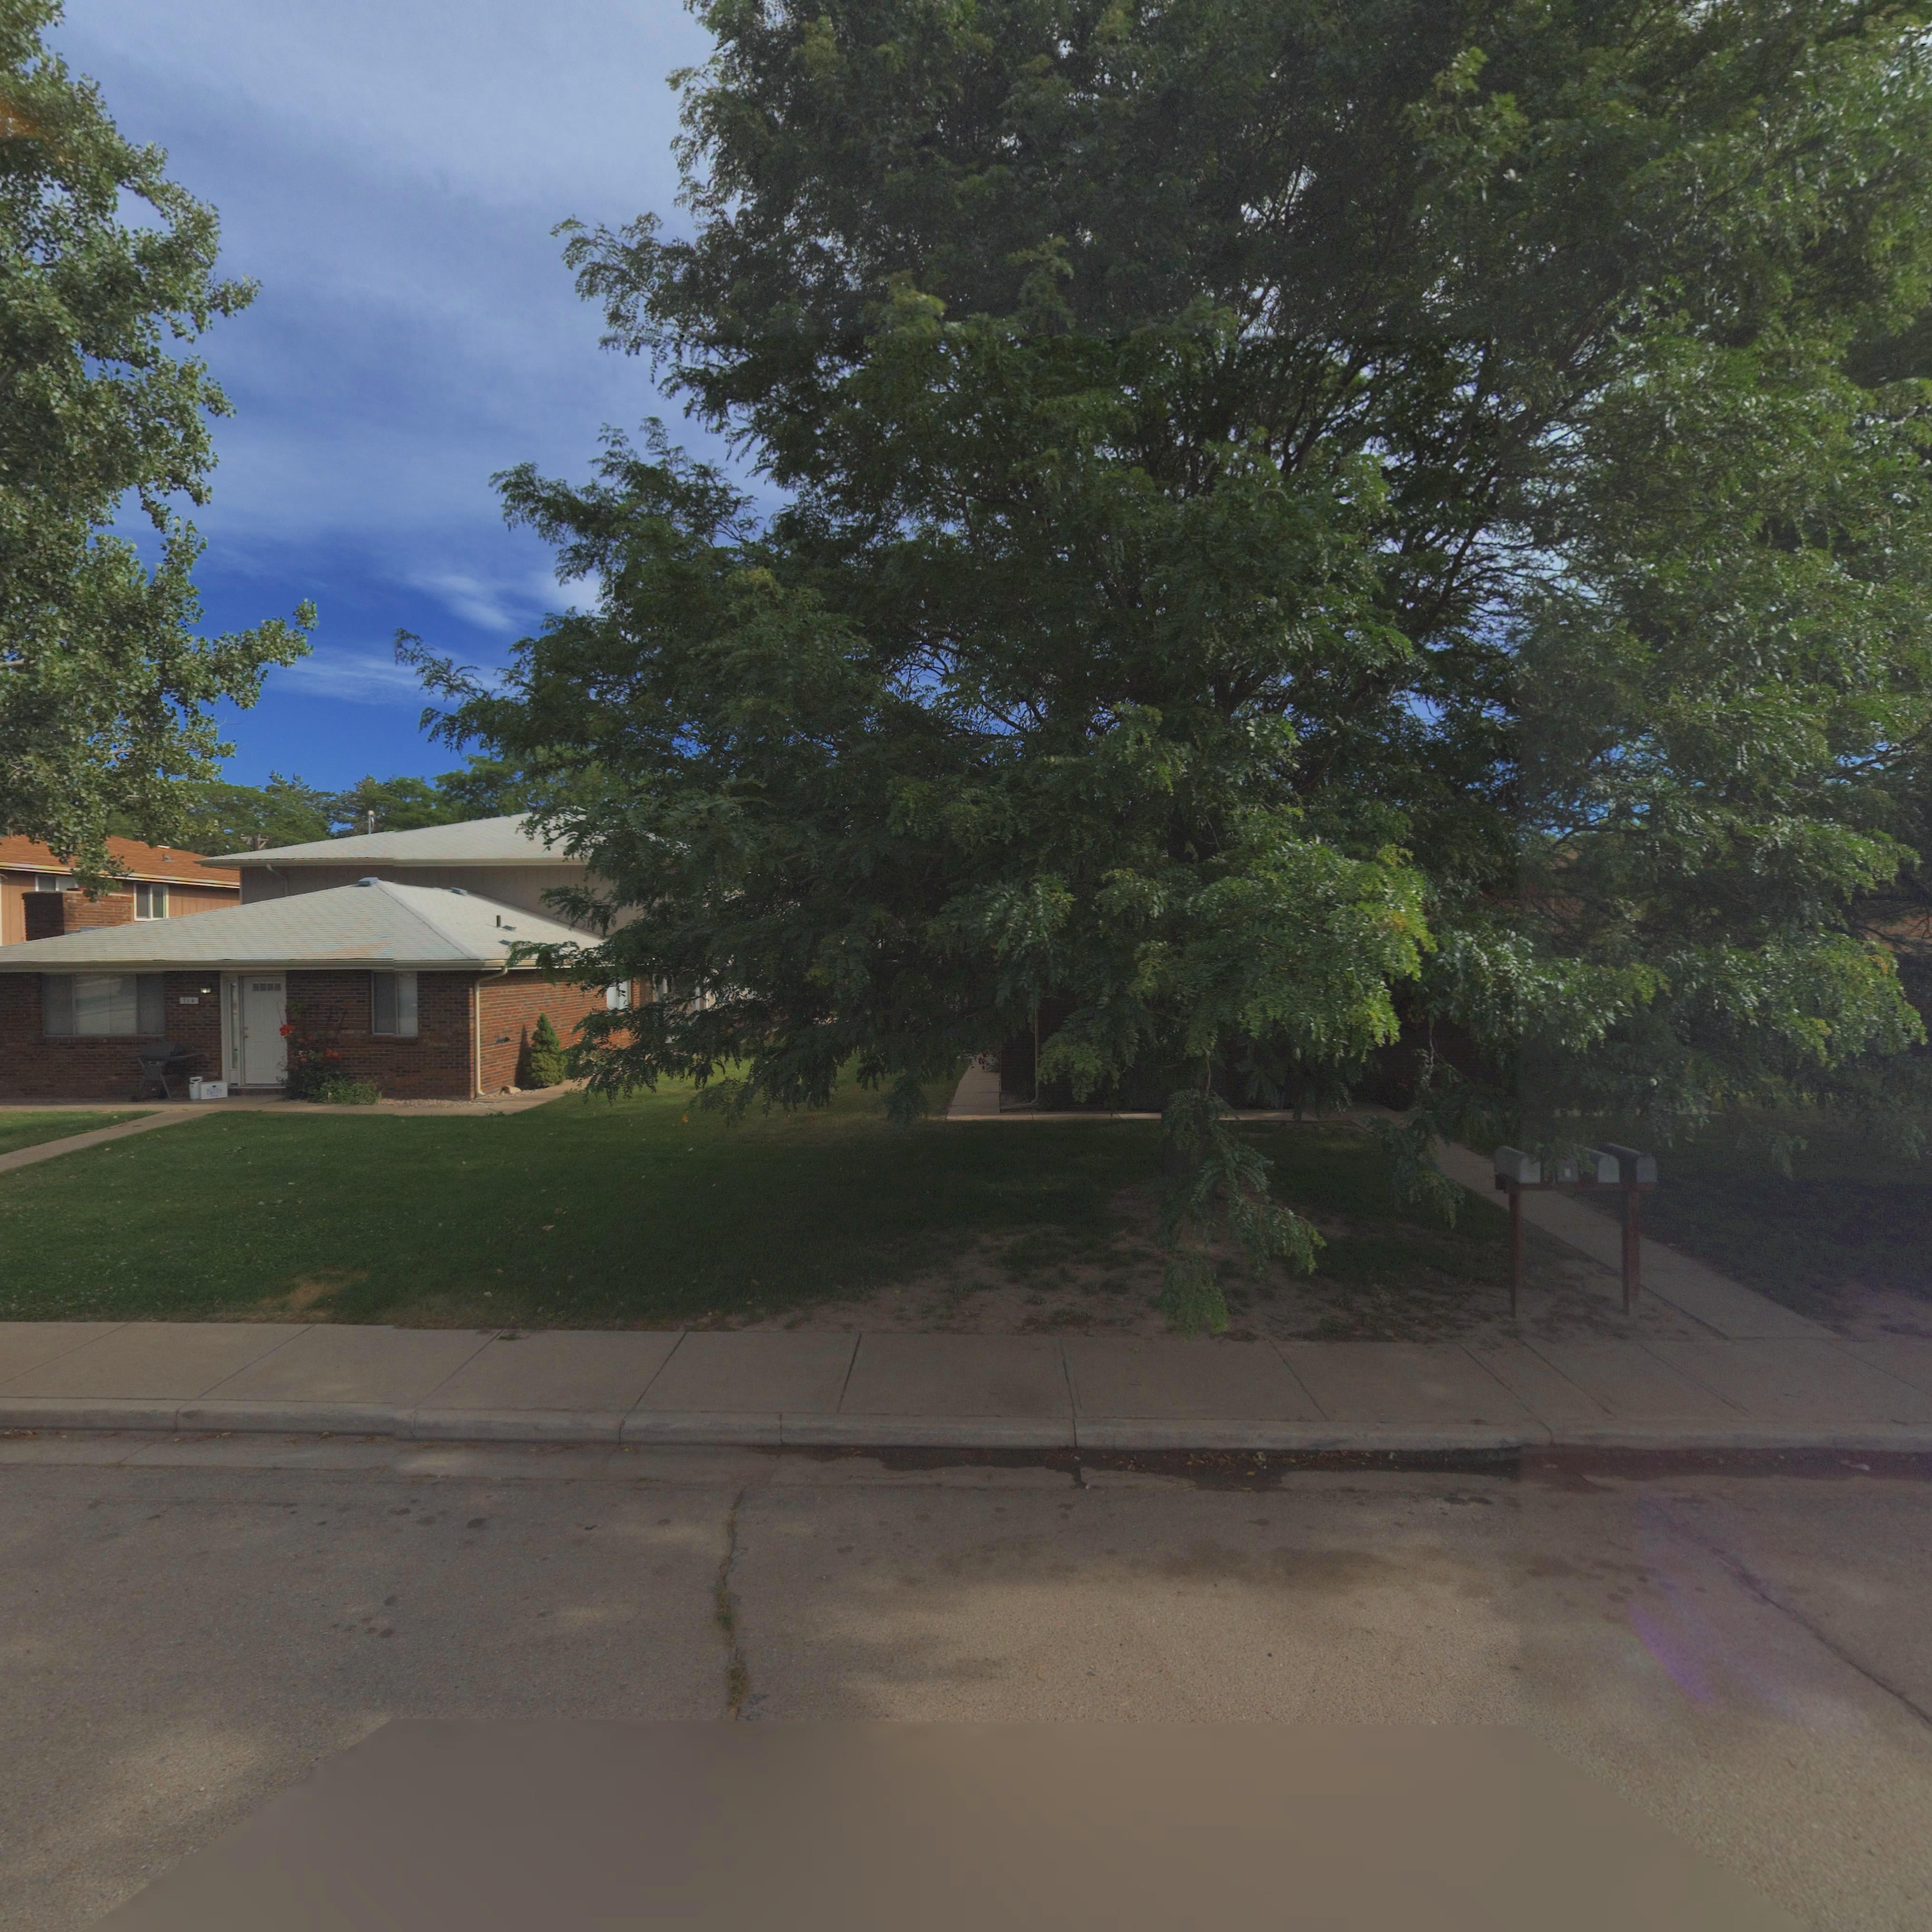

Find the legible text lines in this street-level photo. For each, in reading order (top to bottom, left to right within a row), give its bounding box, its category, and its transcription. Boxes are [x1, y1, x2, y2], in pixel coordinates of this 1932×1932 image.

[180, 998, 198, 1004] StreetNumber: 714